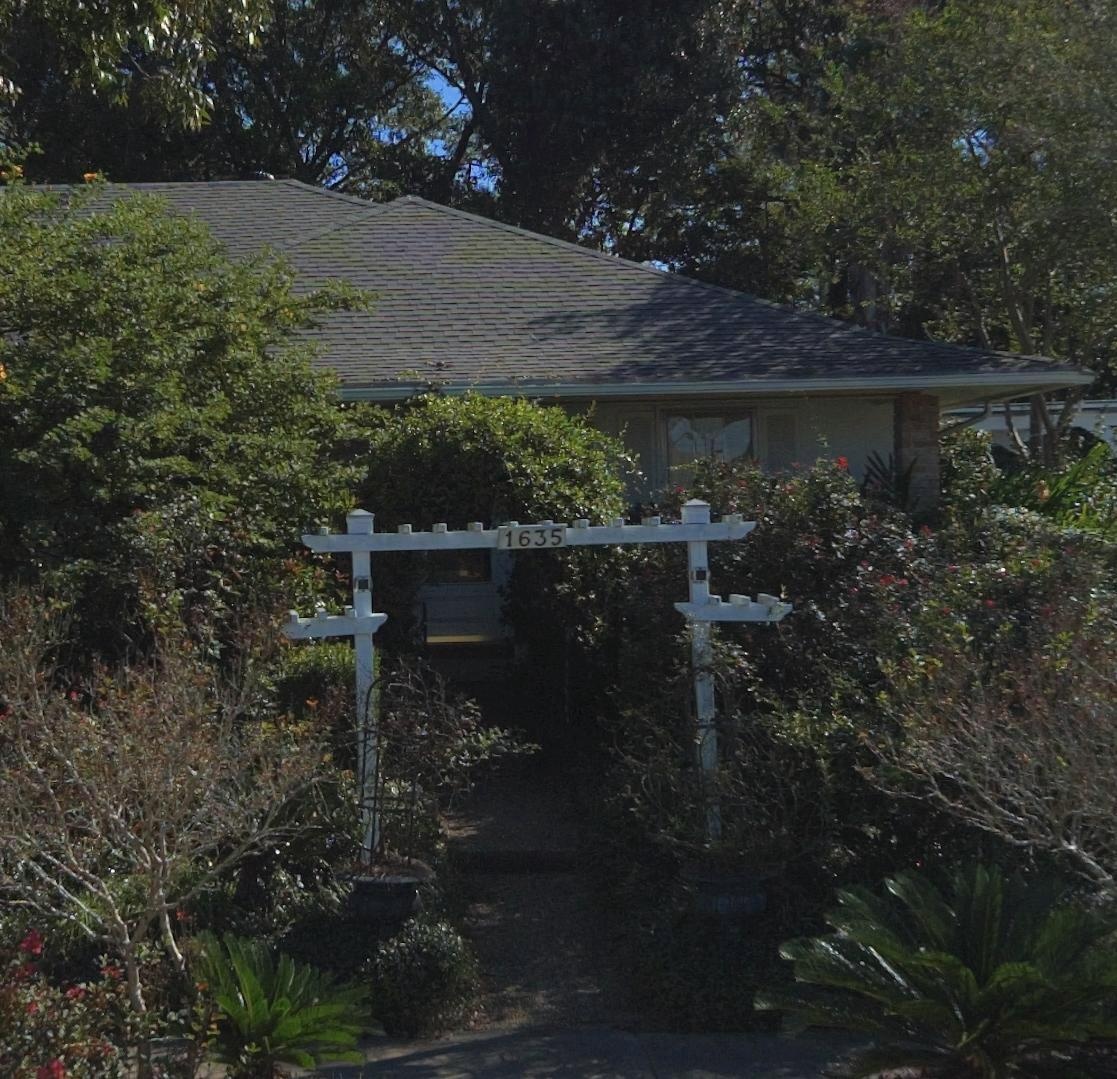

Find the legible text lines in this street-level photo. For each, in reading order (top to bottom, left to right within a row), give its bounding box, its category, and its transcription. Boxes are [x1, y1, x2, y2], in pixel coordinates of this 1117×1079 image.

[503, 526, 565, 549] StreetNumber: 1635